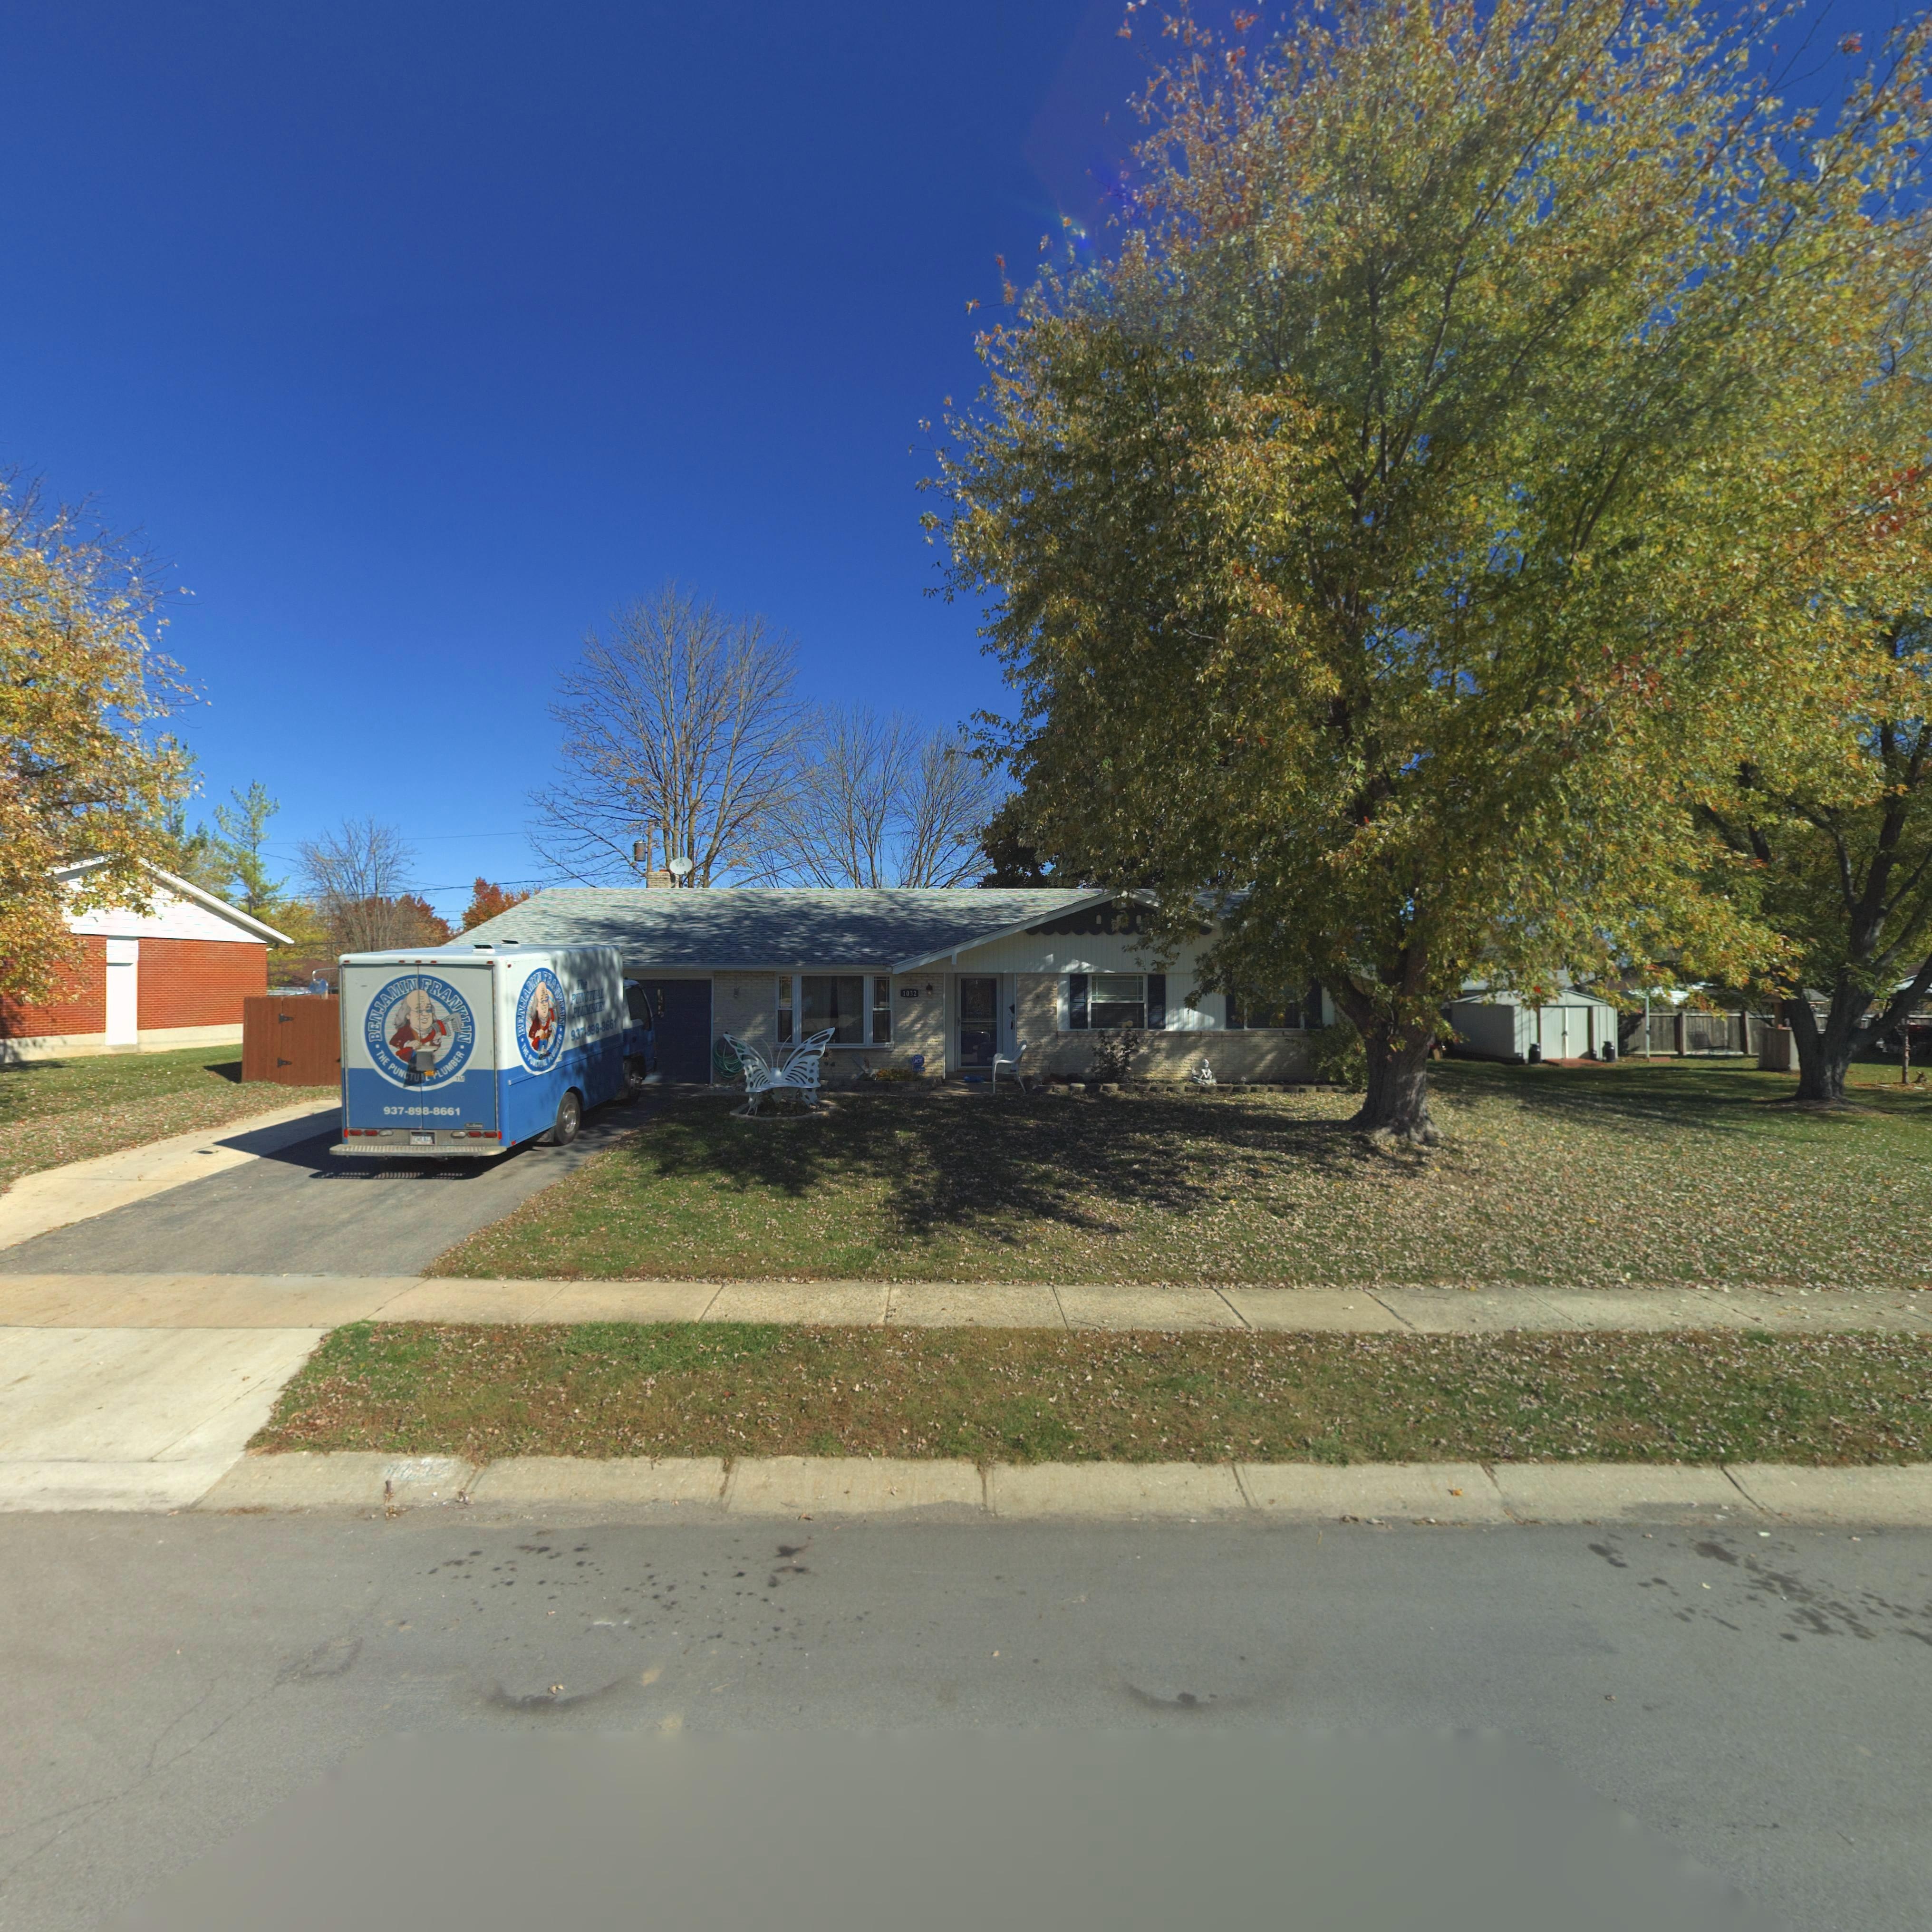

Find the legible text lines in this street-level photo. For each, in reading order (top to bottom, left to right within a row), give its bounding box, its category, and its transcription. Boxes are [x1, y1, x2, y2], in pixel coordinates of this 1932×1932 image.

[902, 990, 918, 997] StreetNumber: 1032